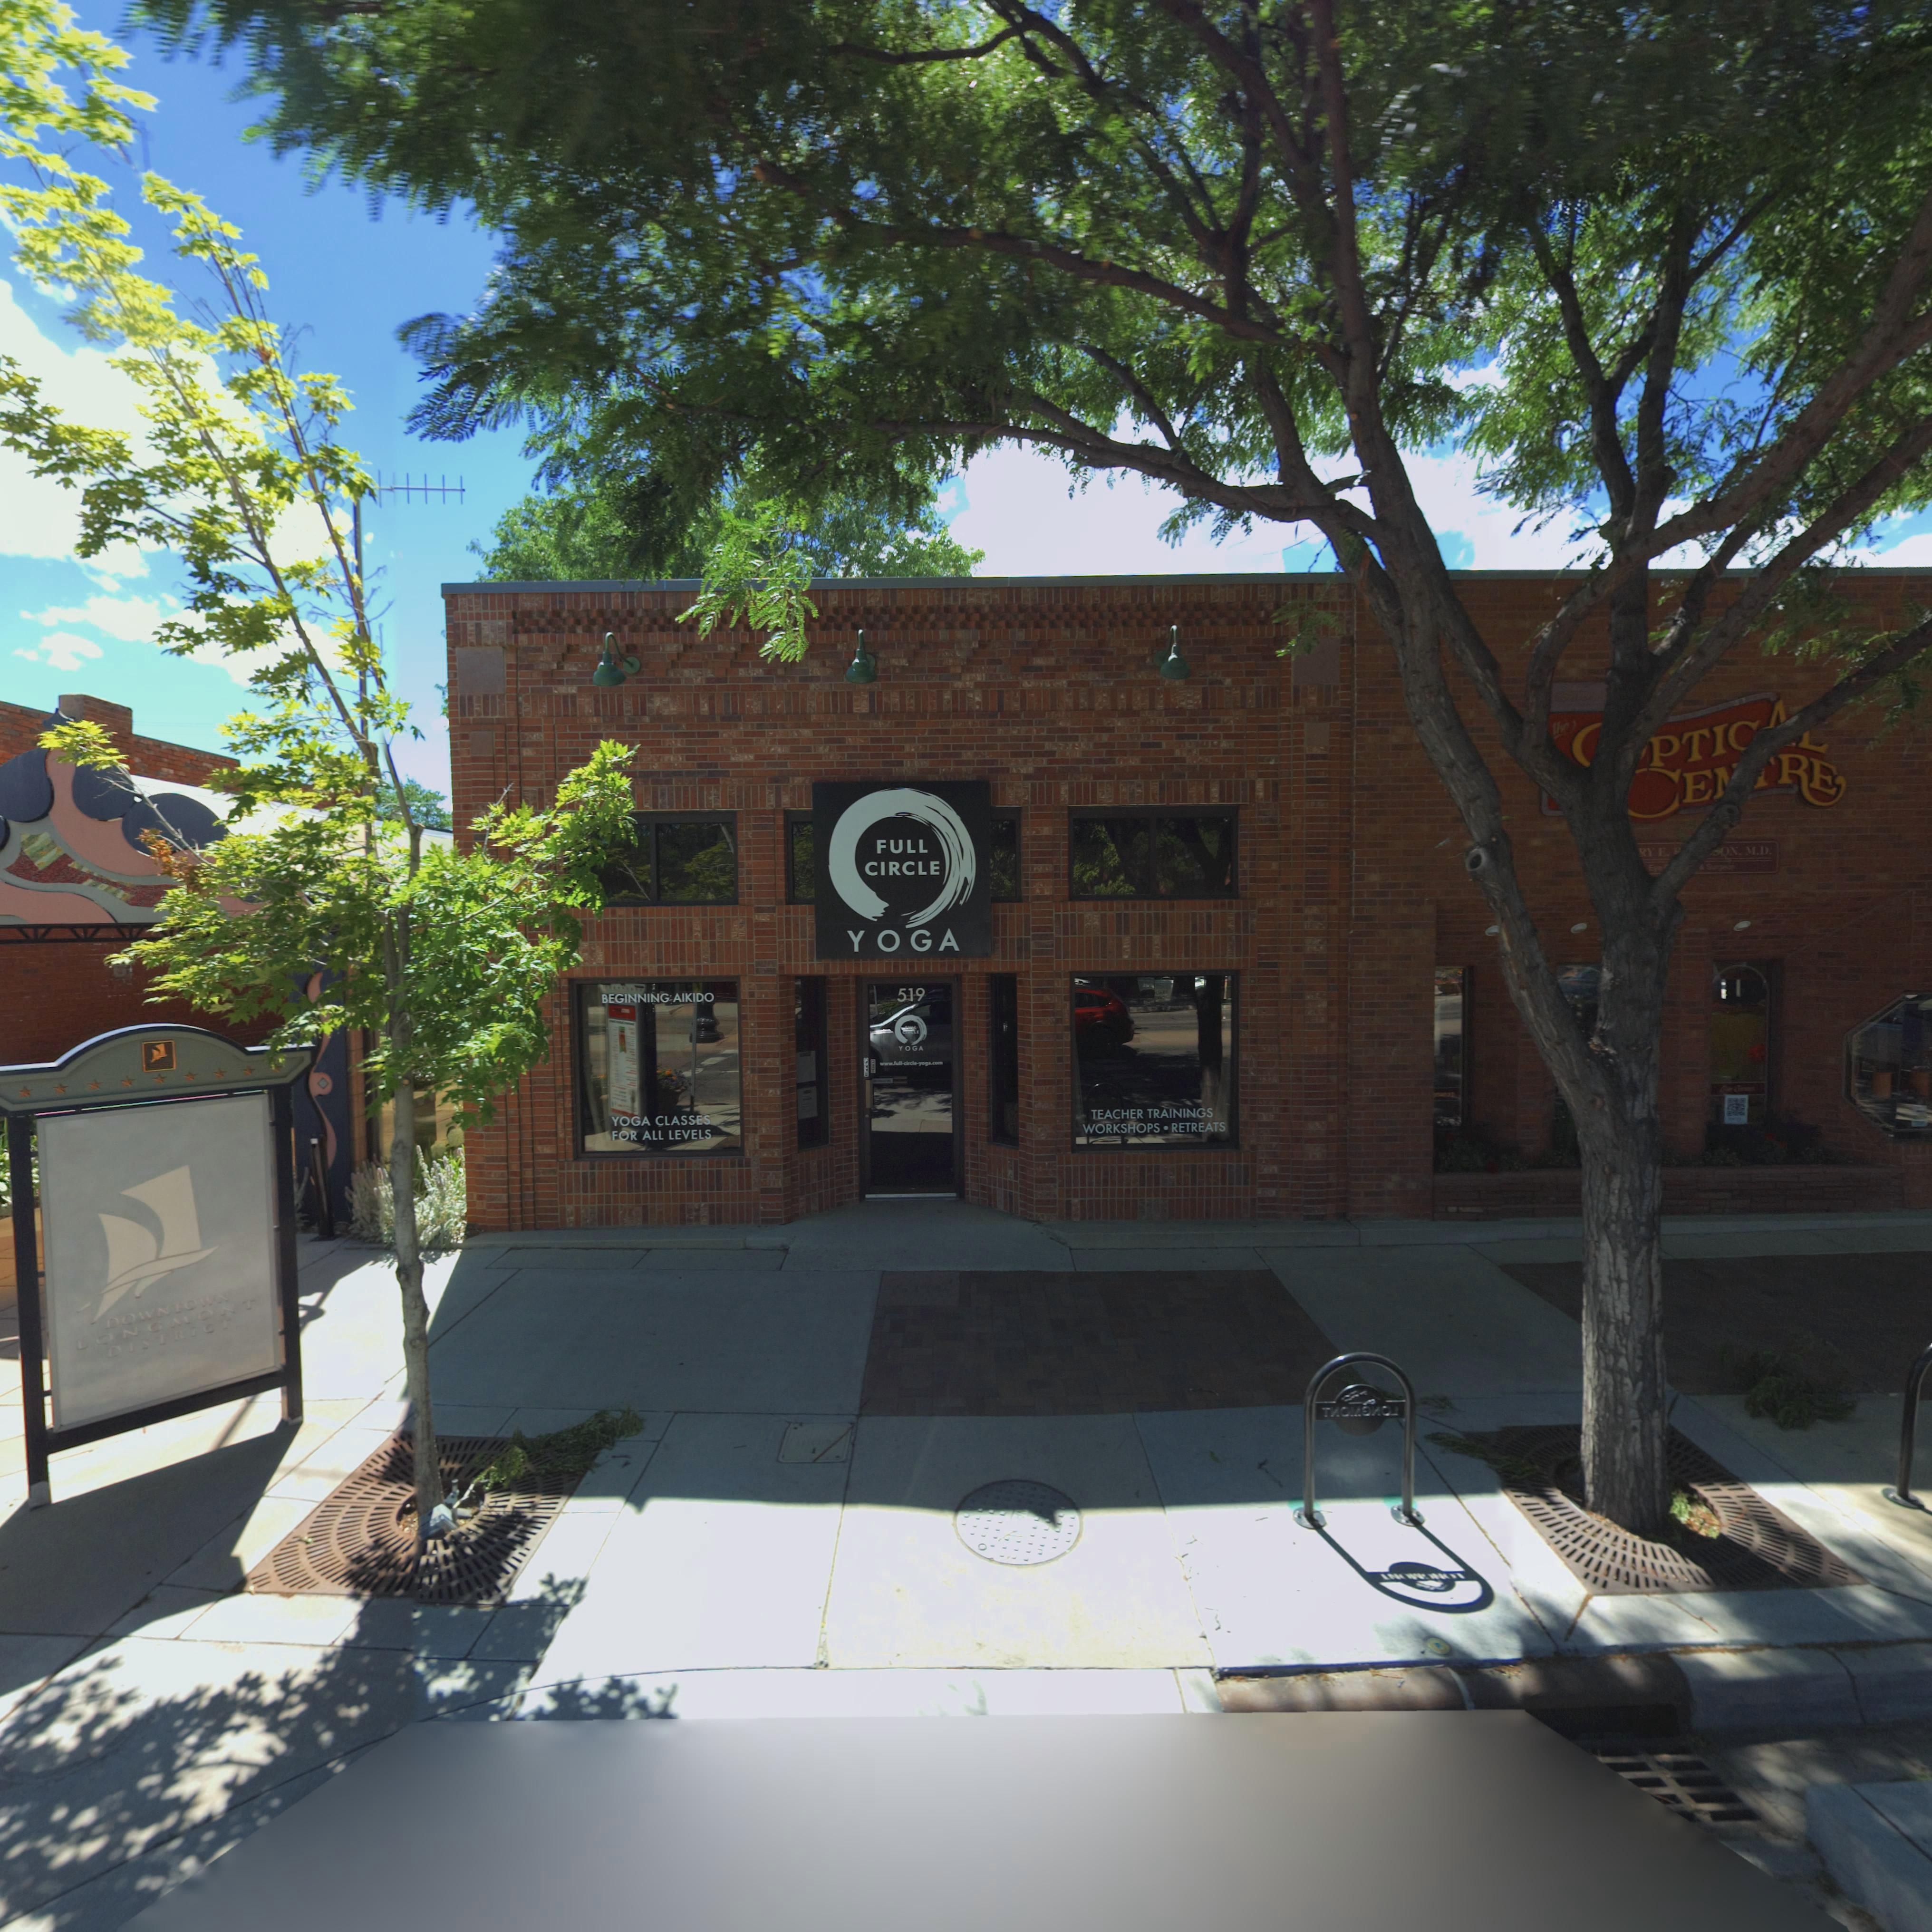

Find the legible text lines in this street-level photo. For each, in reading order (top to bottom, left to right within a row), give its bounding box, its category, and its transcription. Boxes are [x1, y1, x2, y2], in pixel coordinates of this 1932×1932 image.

[1552, 721, 1569, 736] BusinessName: *h*
[1649, 699, 1829, 767] BusinessName: PTI***
[1626, 753, 1839, 818] BusinessName: *E**RE
[877, 839, 928, 854] BusinessName: FULL
[1639, 845, 1772, 858] BusinessName: *Y E. ******ON. M.D.
[864, 861, 939, 876] BusinessName: CIRCLE
[1648, 863, 1736, 872] BusinessName: E*e ********** * S***eo*
[847, 927, 960, 952] BusinessName: YOGA
[897, 987, 925, 1002] StreetNumber: 519
[898, 1045, 924, 1051] BusinessName: YOGA